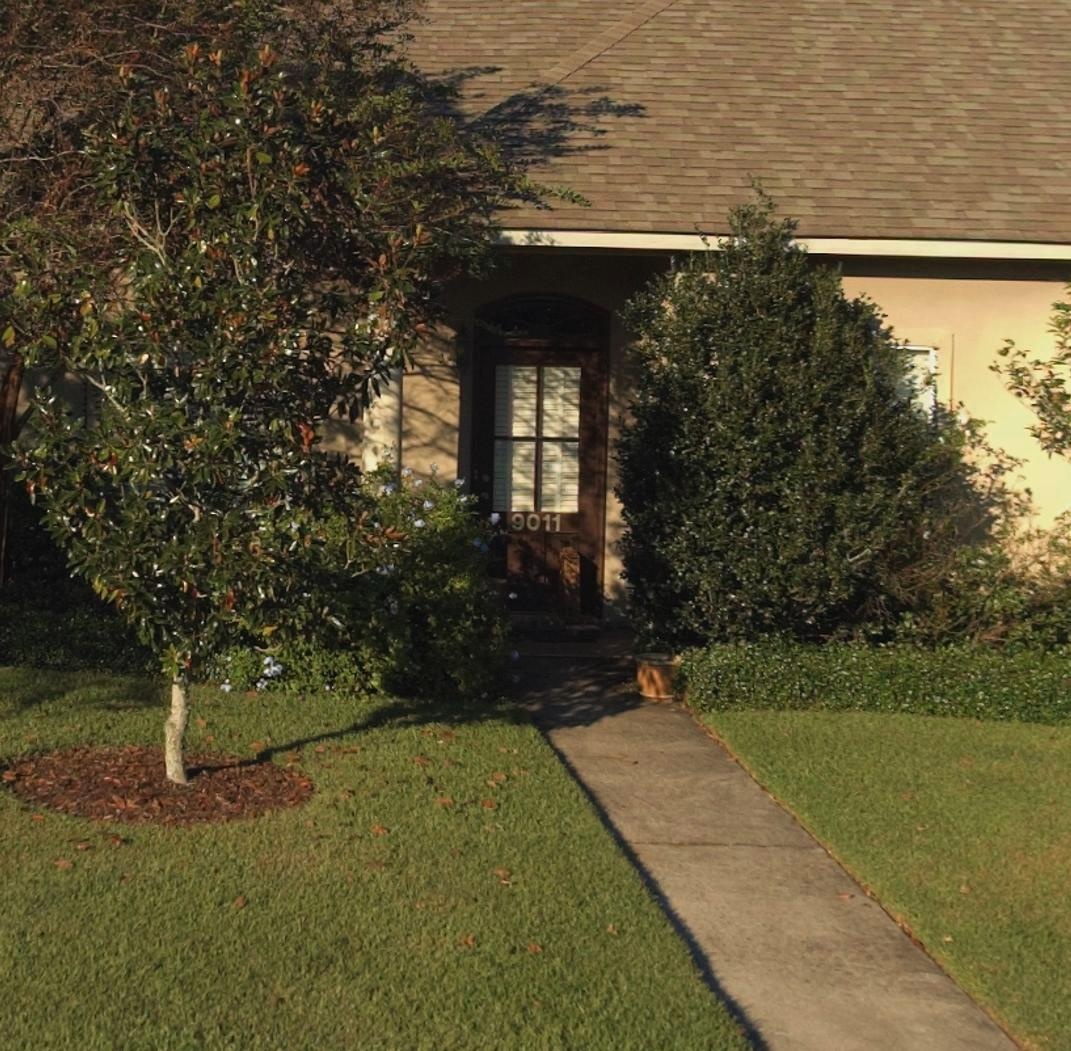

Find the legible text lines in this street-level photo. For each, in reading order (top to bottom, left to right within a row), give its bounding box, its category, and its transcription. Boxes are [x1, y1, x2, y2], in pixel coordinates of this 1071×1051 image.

[510, 513, 562, 532] StreetNumber: 9011